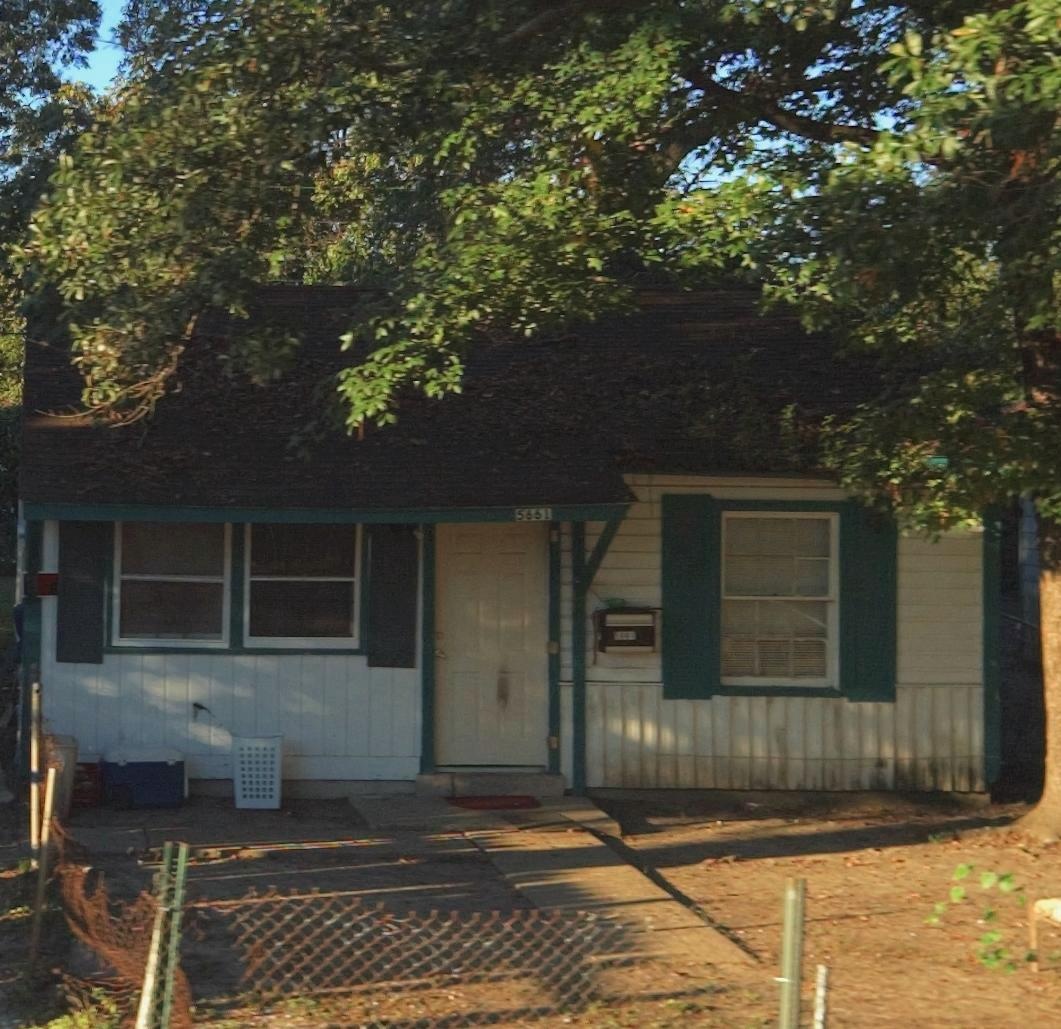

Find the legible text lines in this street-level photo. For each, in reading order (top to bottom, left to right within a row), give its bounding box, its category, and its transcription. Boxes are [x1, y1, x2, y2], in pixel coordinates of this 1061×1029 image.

[516, 509, 551, 521] StreetNumber: 5661